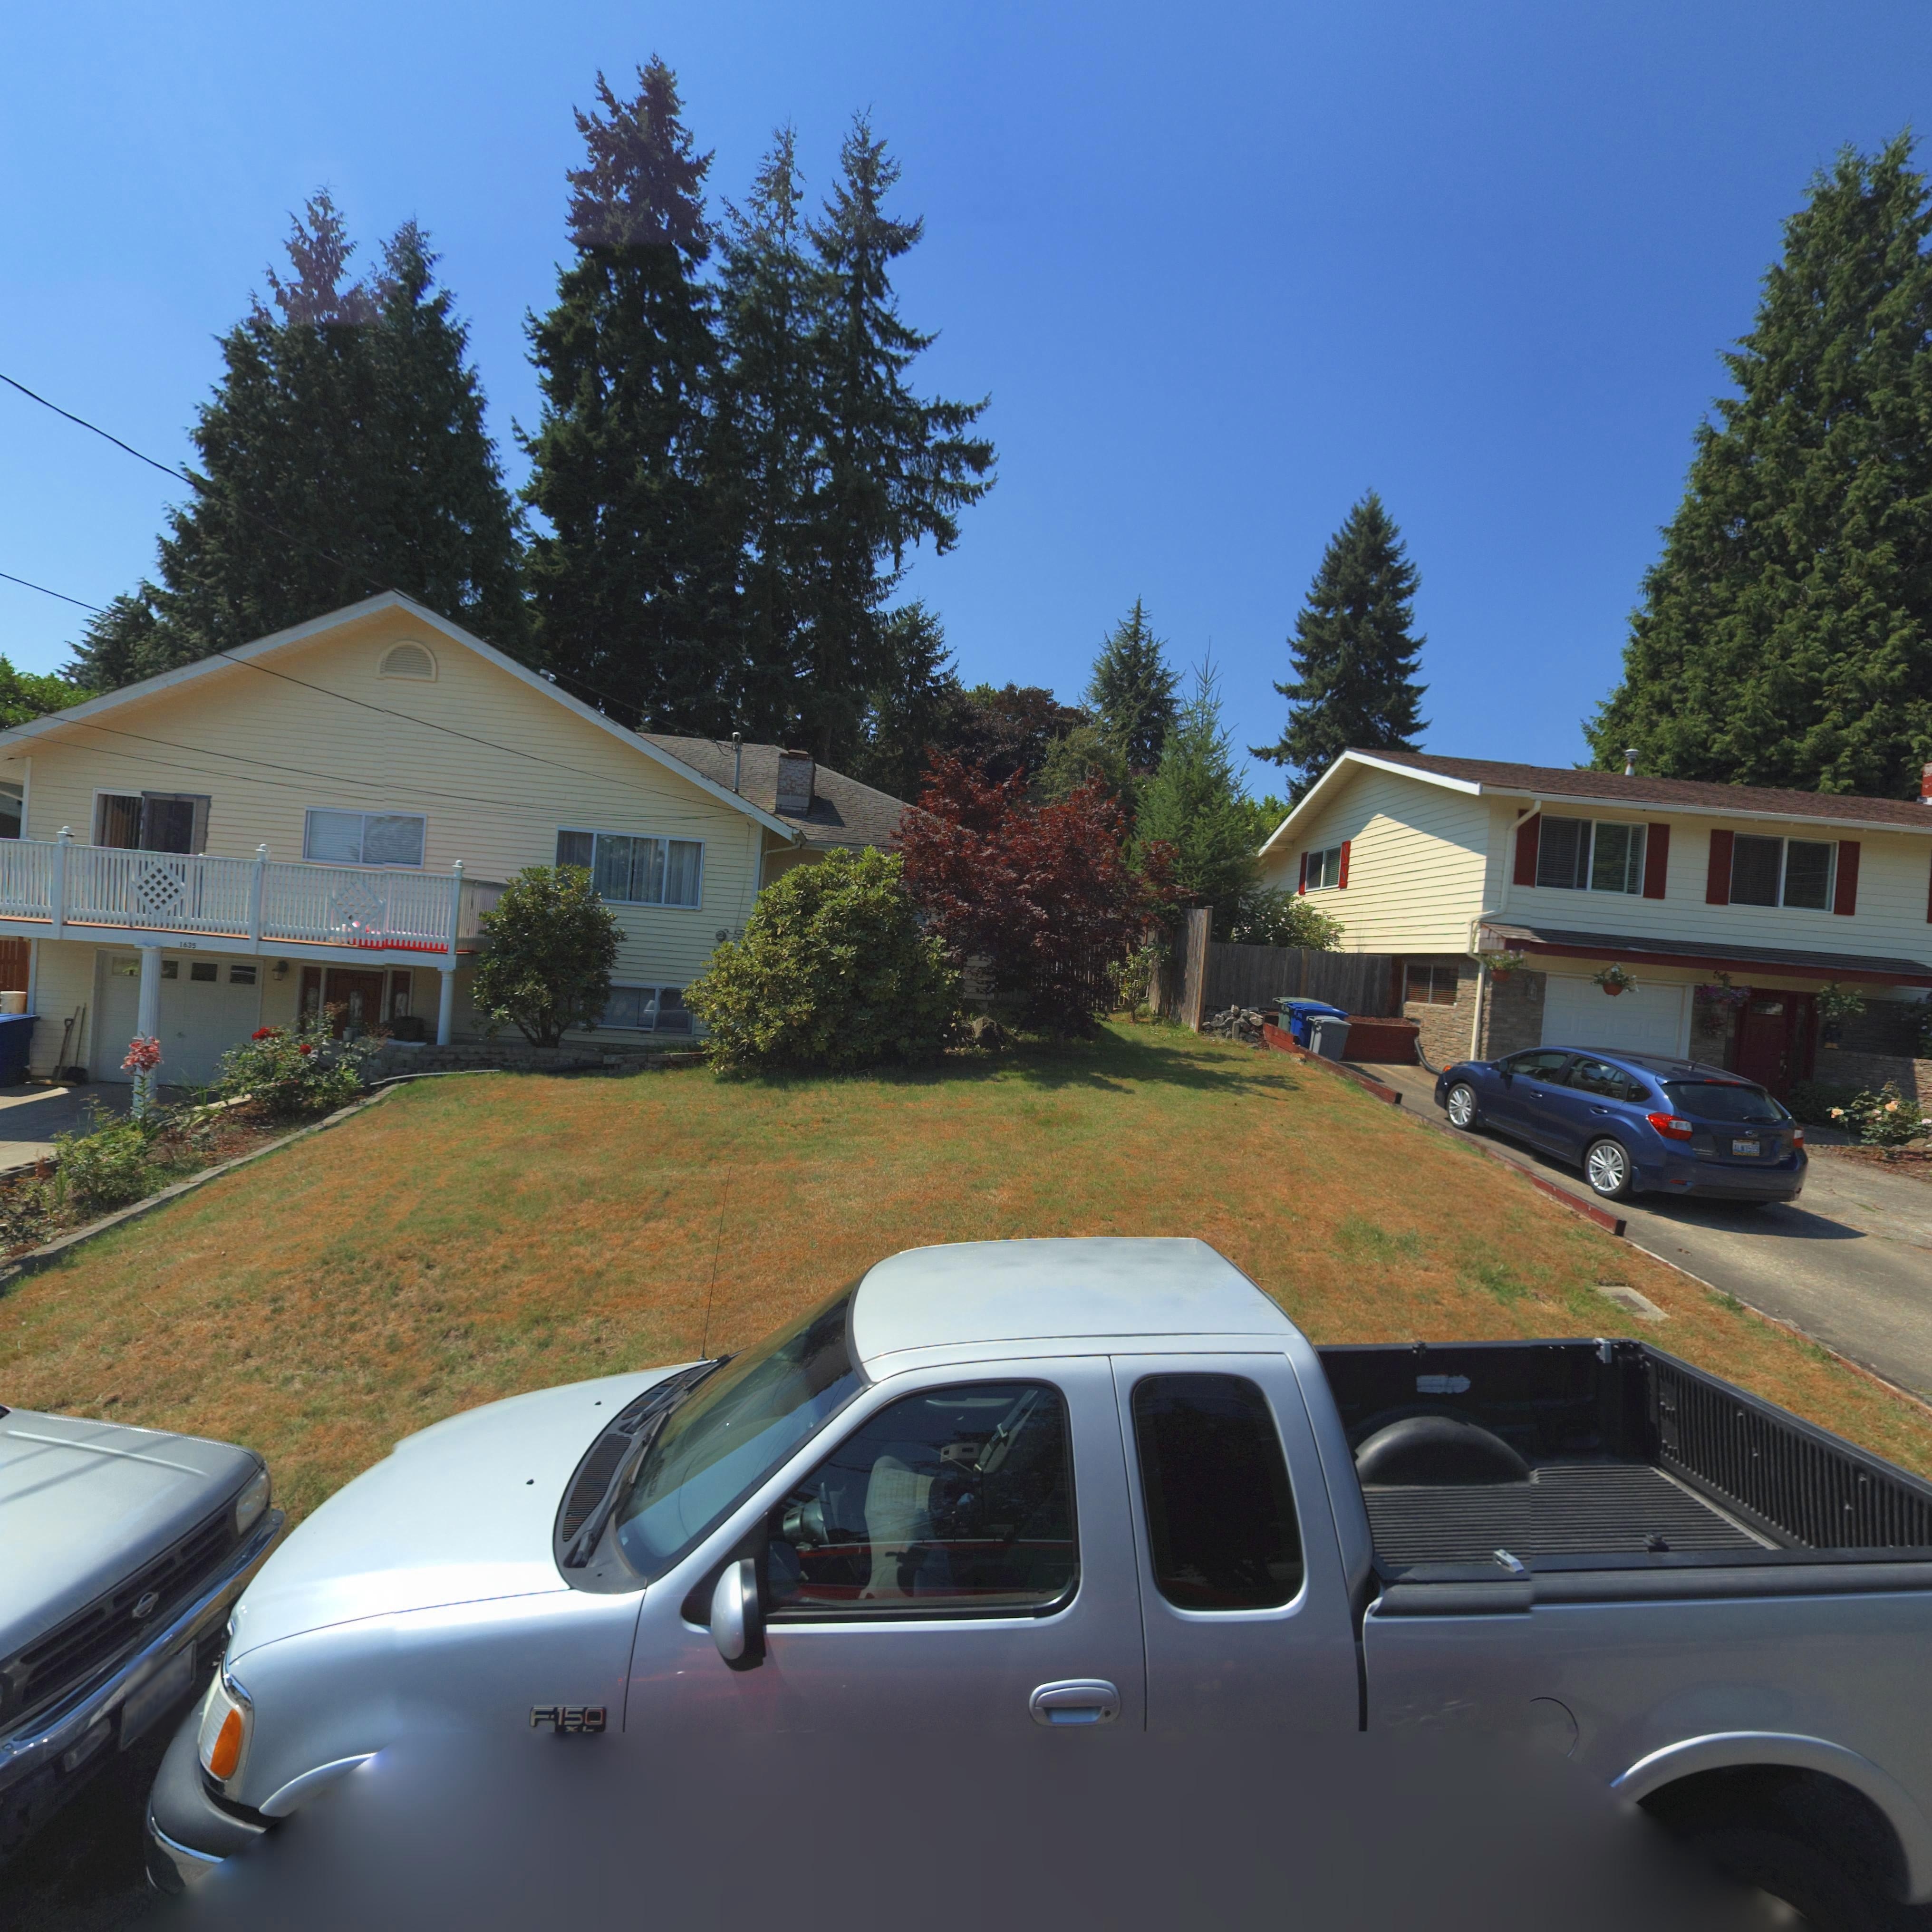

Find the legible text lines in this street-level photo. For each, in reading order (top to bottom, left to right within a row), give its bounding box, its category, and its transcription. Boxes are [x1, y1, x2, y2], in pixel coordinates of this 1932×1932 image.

[178, 941, 197, 949] StreetNumber: 1635